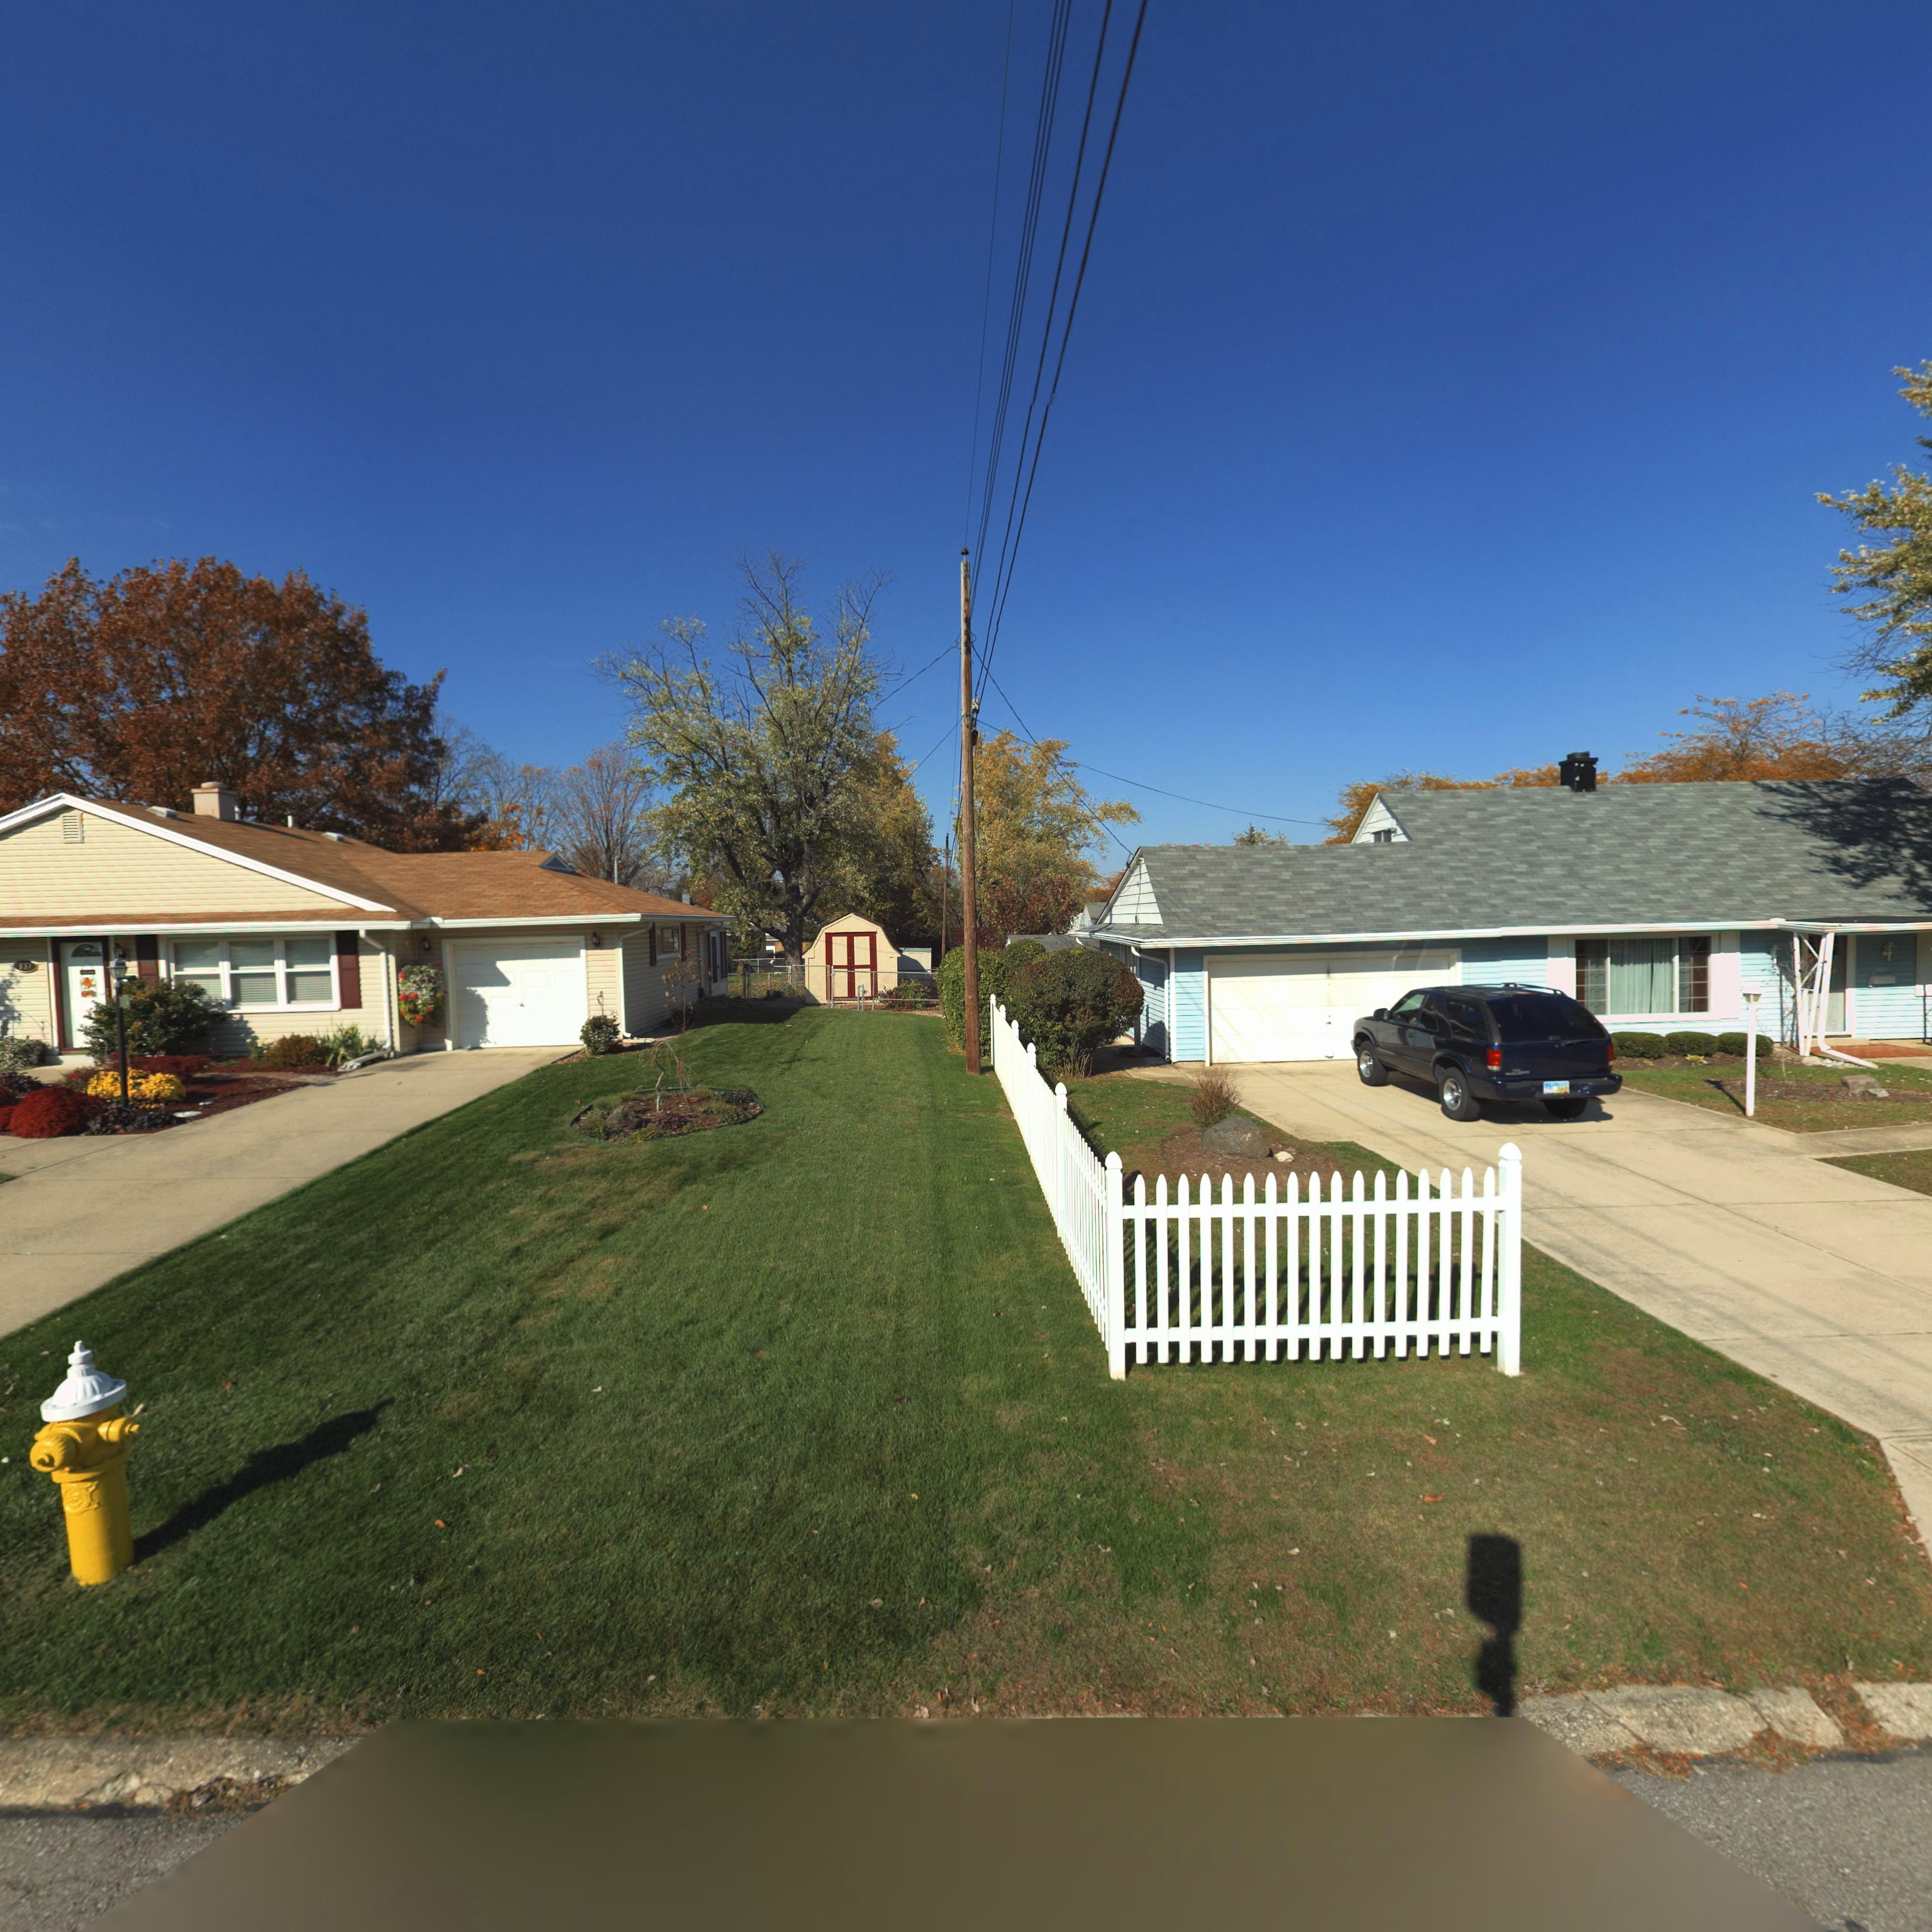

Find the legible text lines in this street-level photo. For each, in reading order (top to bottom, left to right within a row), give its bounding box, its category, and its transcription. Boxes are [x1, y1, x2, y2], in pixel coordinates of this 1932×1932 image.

[18, 962, 32, 971] StreetNumber: 85*